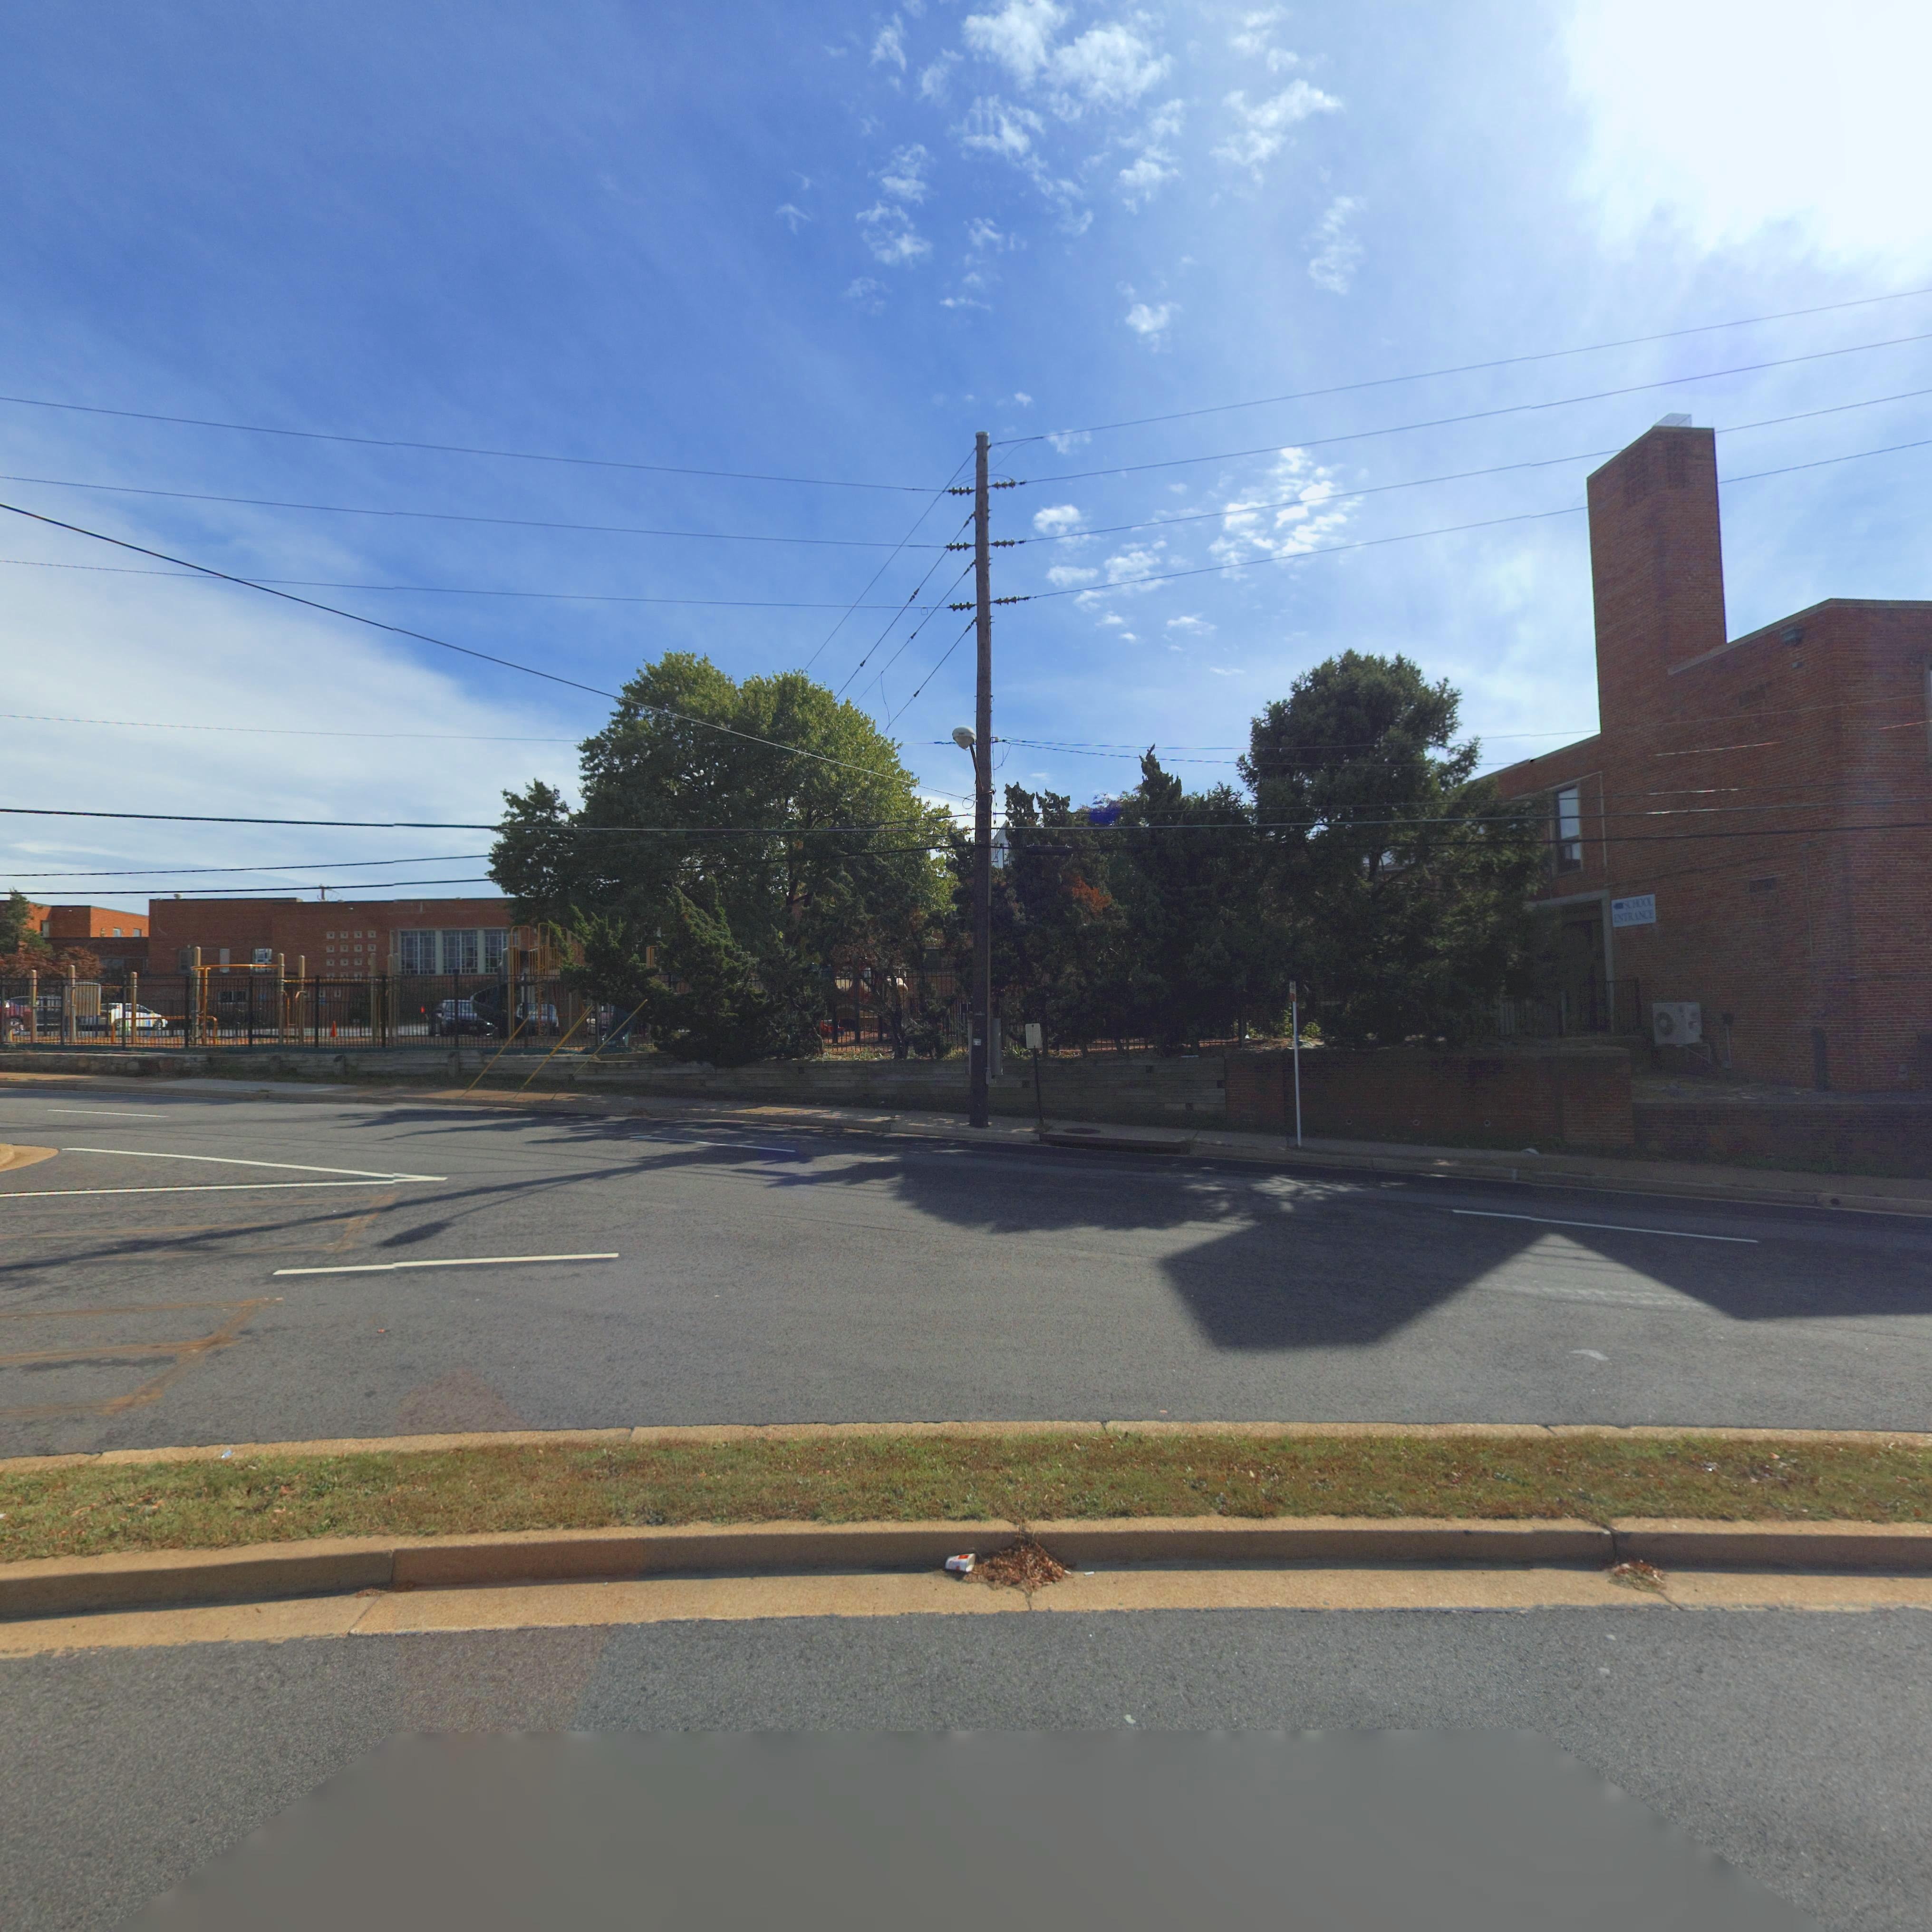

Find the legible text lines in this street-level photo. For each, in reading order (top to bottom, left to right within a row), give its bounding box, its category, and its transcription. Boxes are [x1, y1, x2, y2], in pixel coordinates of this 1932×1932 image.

[1622, 897, 1654, 910] None: SCHOOL
[1613, 909, 1654, 924] None: ENTRANCE